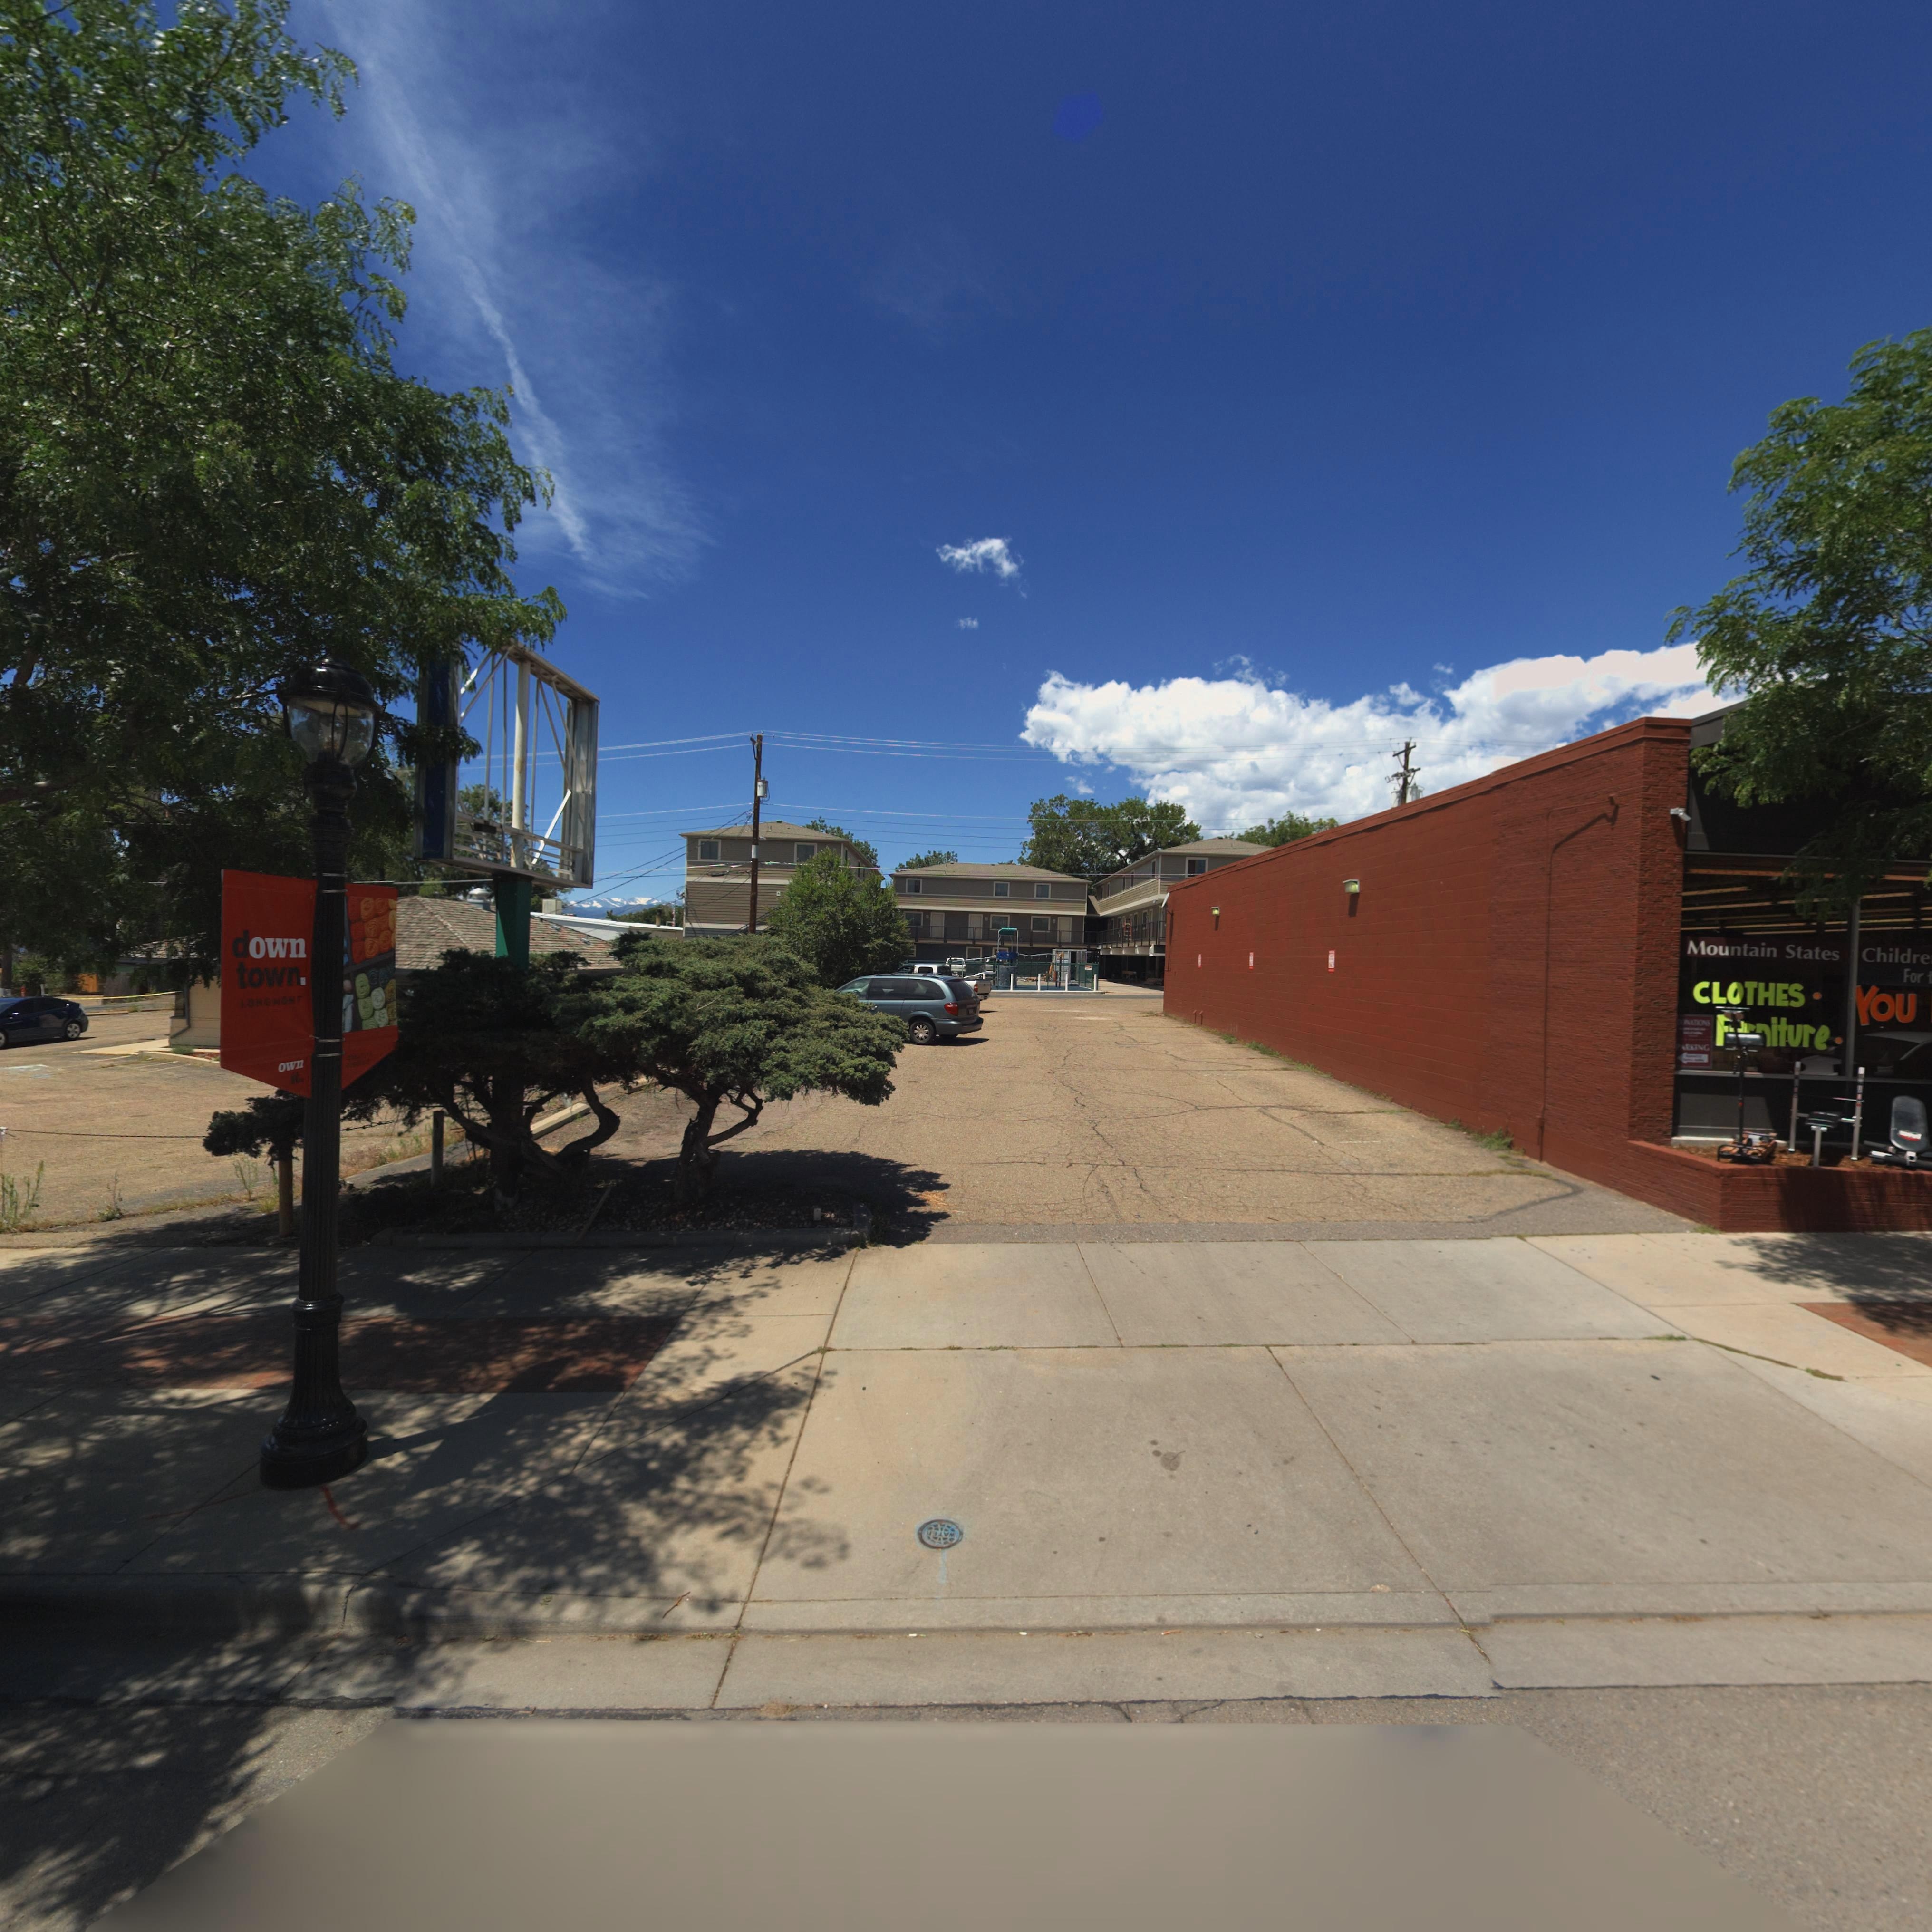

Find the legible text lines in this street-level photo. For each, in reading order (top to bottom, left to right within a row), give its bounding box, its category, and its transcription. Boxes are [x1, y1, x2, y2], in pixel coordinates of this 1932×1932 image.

[1687, 940, 1932, 964] BusinessName: Mountain States Childre
[1902, 967, 1924, 985] BusinessName: For